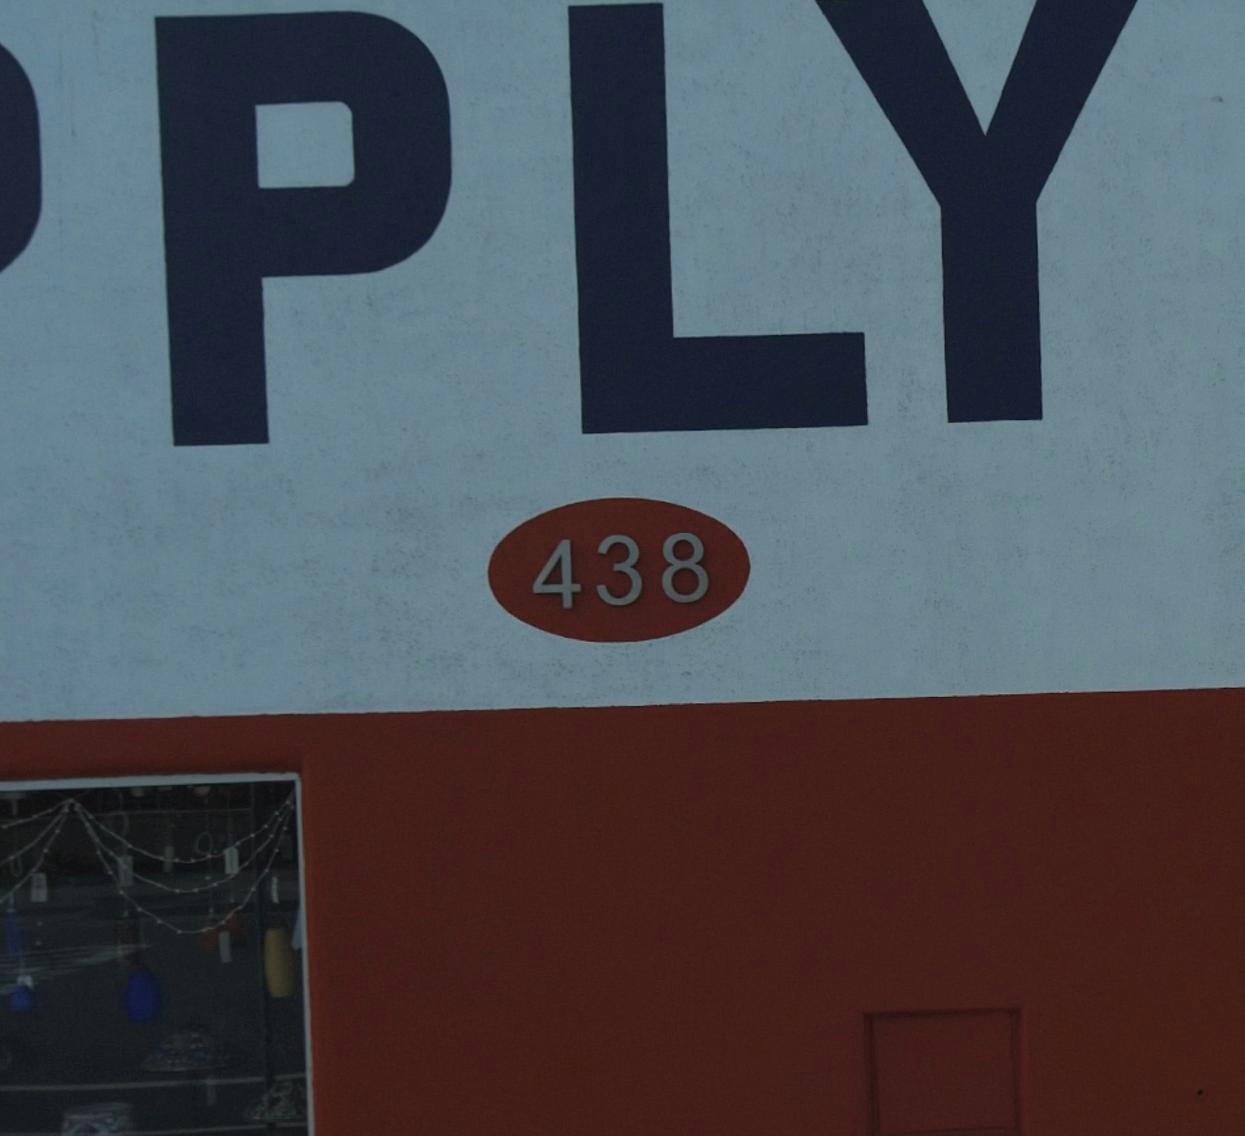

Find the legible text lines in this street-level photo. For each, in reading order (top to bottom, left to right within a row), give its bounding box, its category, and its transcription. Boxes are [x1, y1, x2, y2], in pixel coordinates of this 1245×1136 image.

[147, 4, 464, 454] None: P
[560, 1, 881, 443] None: L
[517, 526, 718, 618] StreetNumber: 438